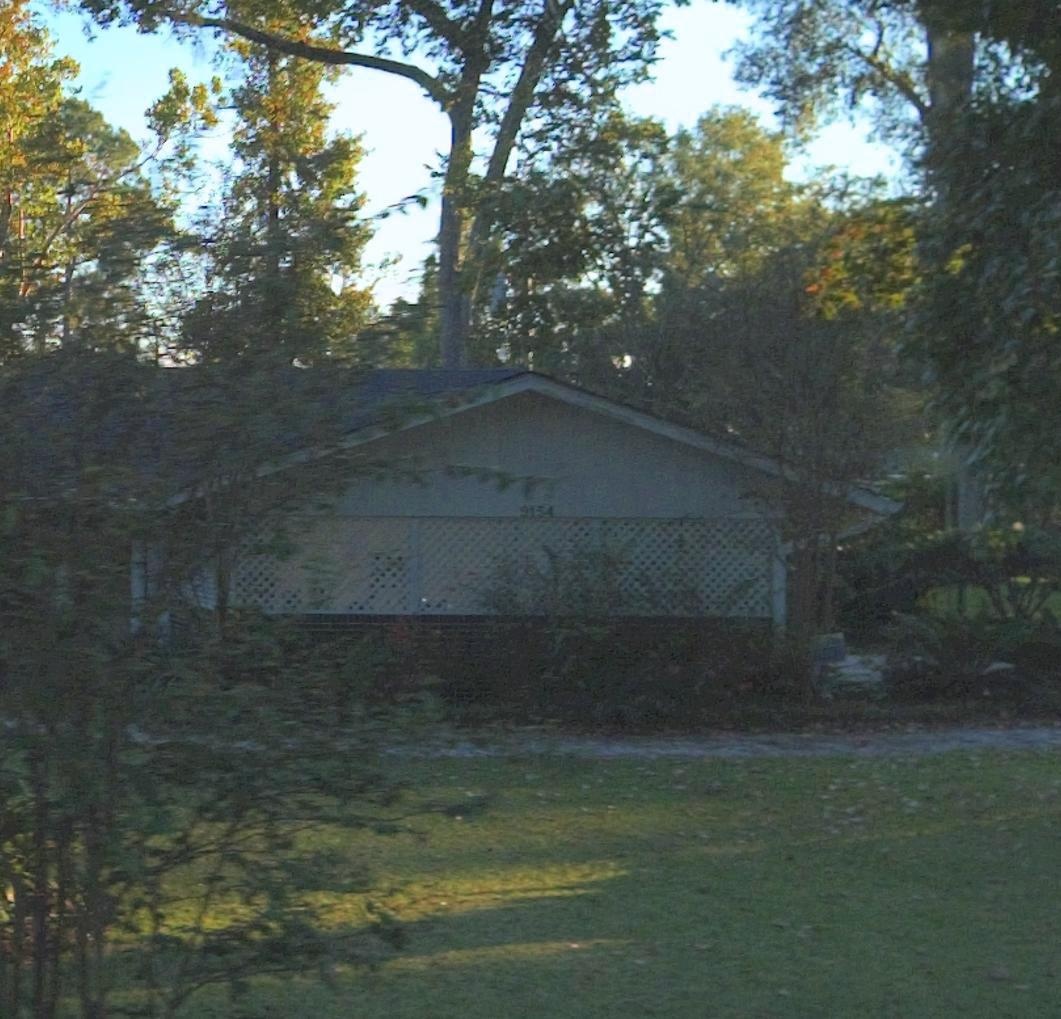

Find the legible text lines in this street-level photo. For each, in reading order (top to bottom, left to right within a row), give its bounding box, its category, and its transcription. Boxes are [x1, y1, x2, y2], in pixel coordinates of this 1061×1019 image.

[519, 504, 554, 519] StreetNumber: 9154